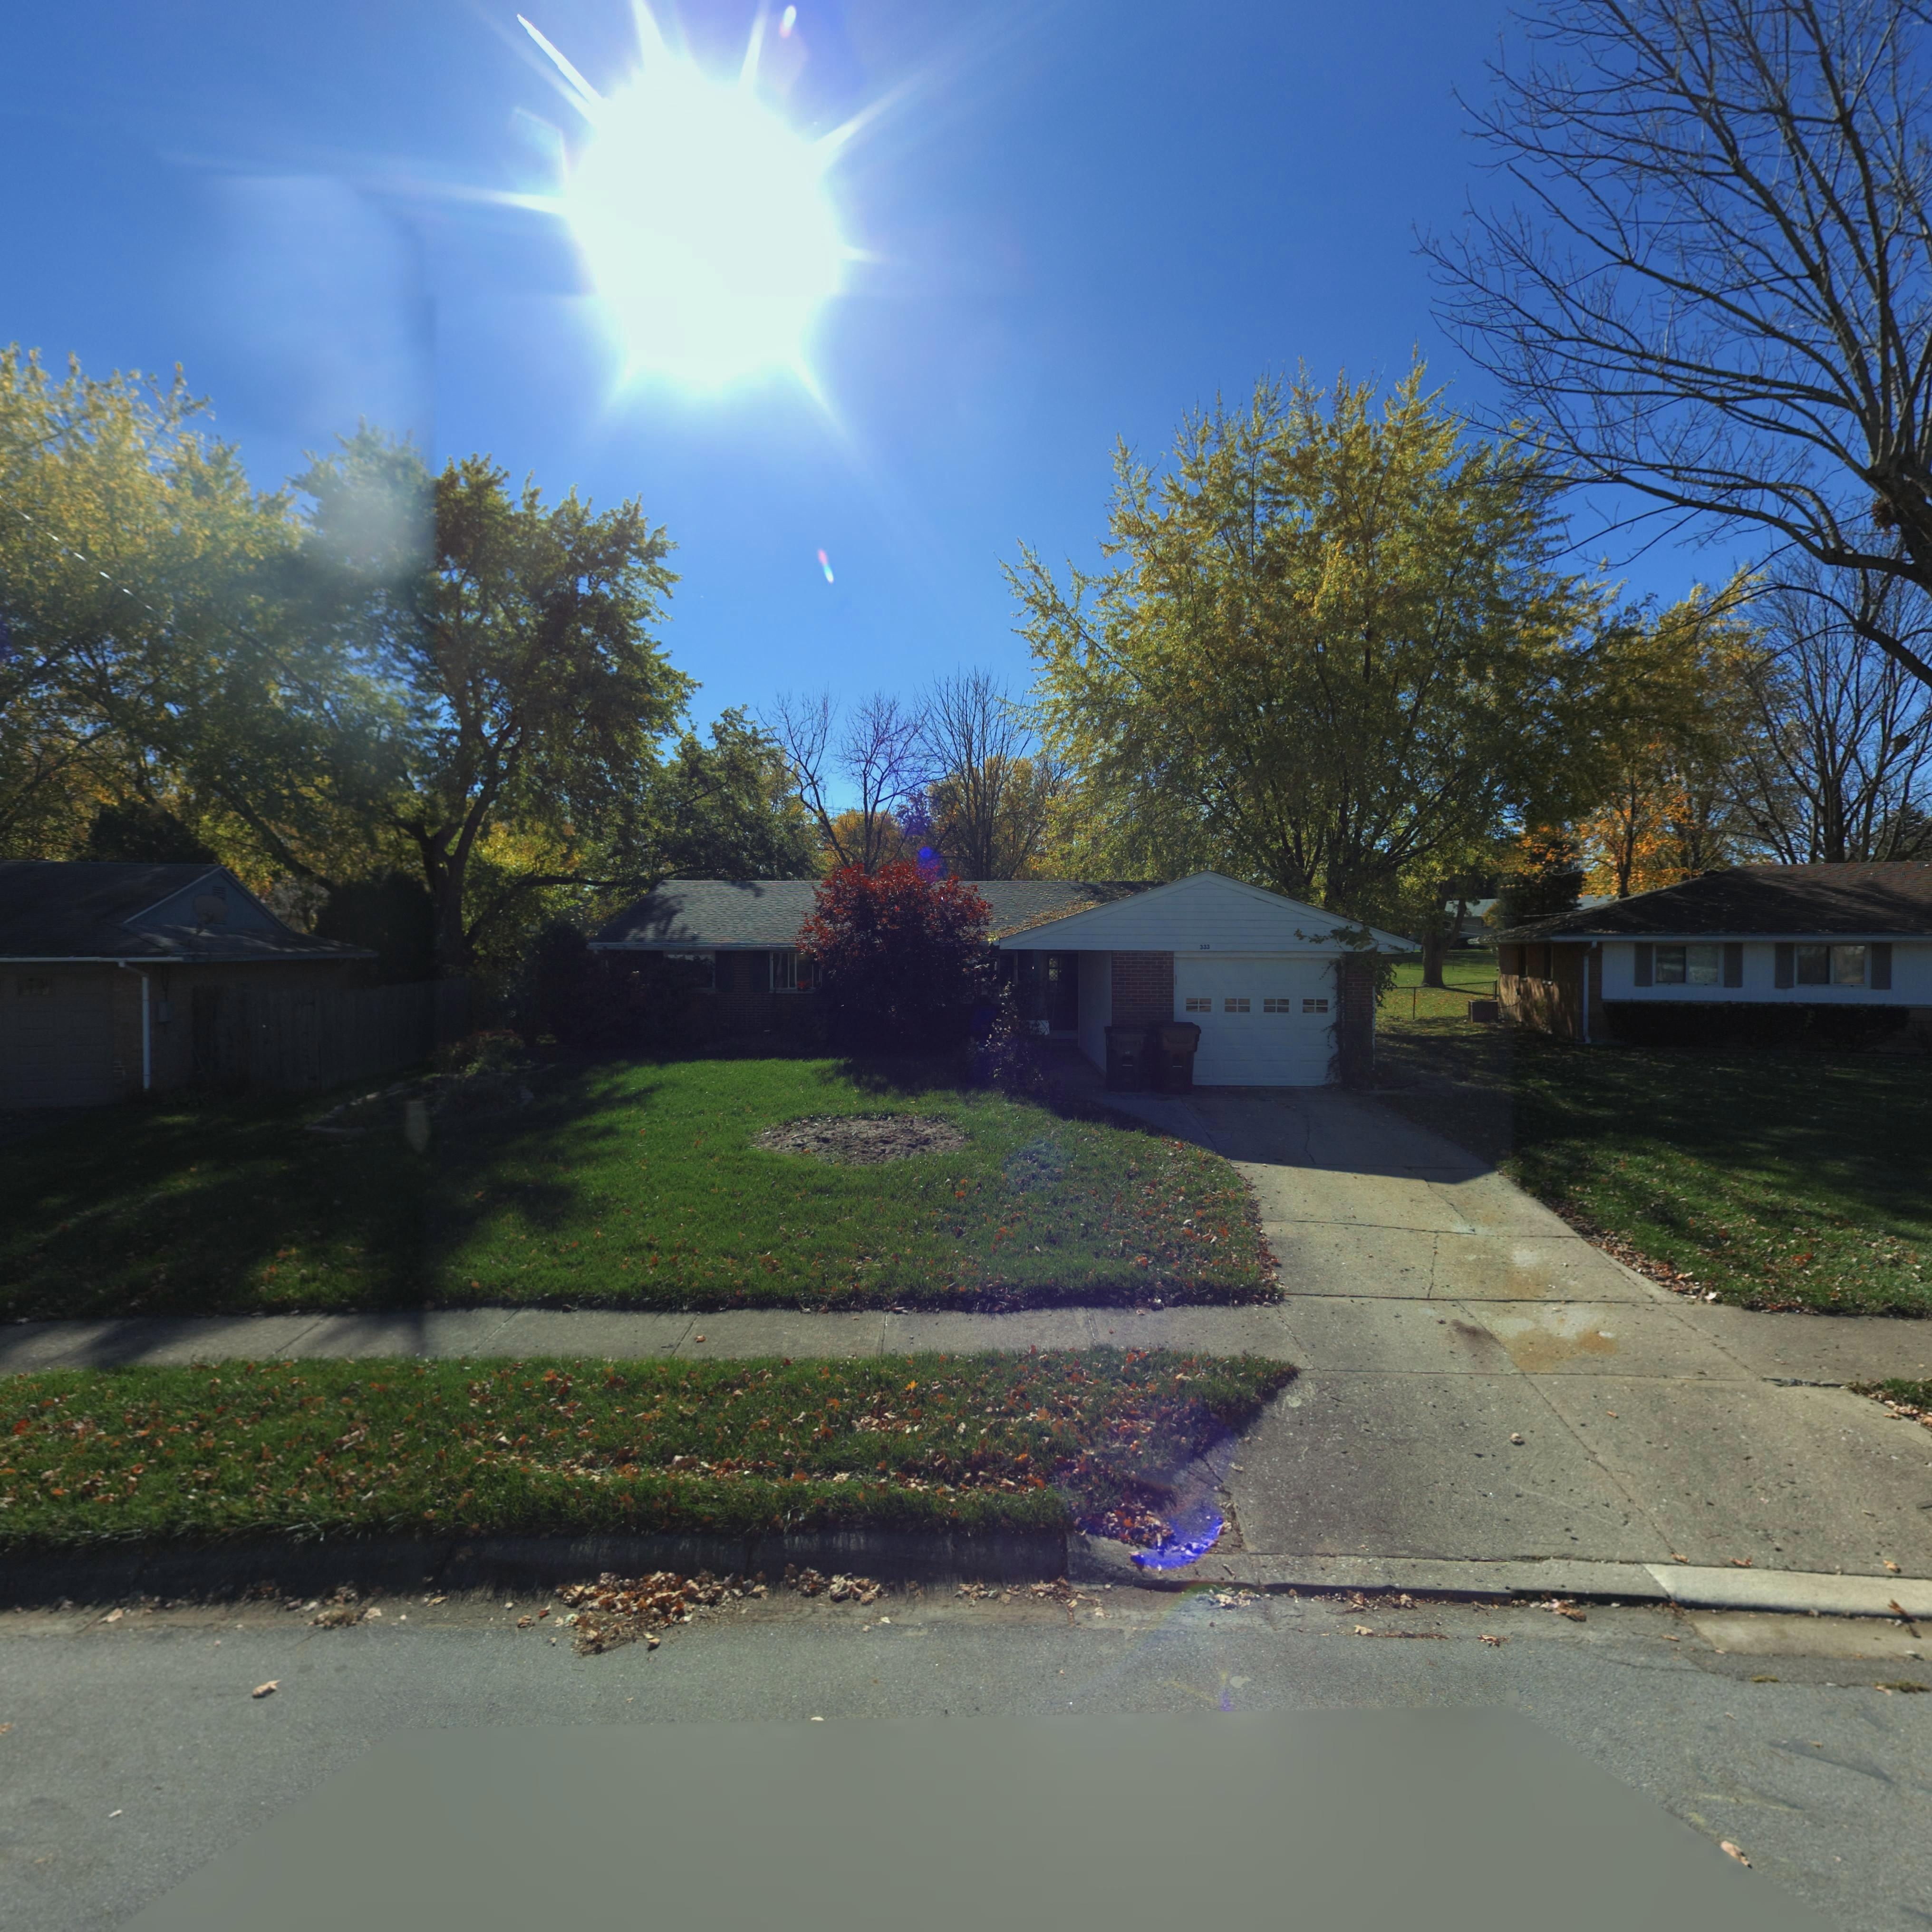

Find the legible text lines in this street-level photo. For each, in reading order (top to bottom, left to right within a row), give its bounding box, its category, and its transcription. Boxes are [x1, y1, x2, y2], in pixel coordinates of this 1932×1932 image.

[1199, 943, 1211, 951] StreetNumber: 333